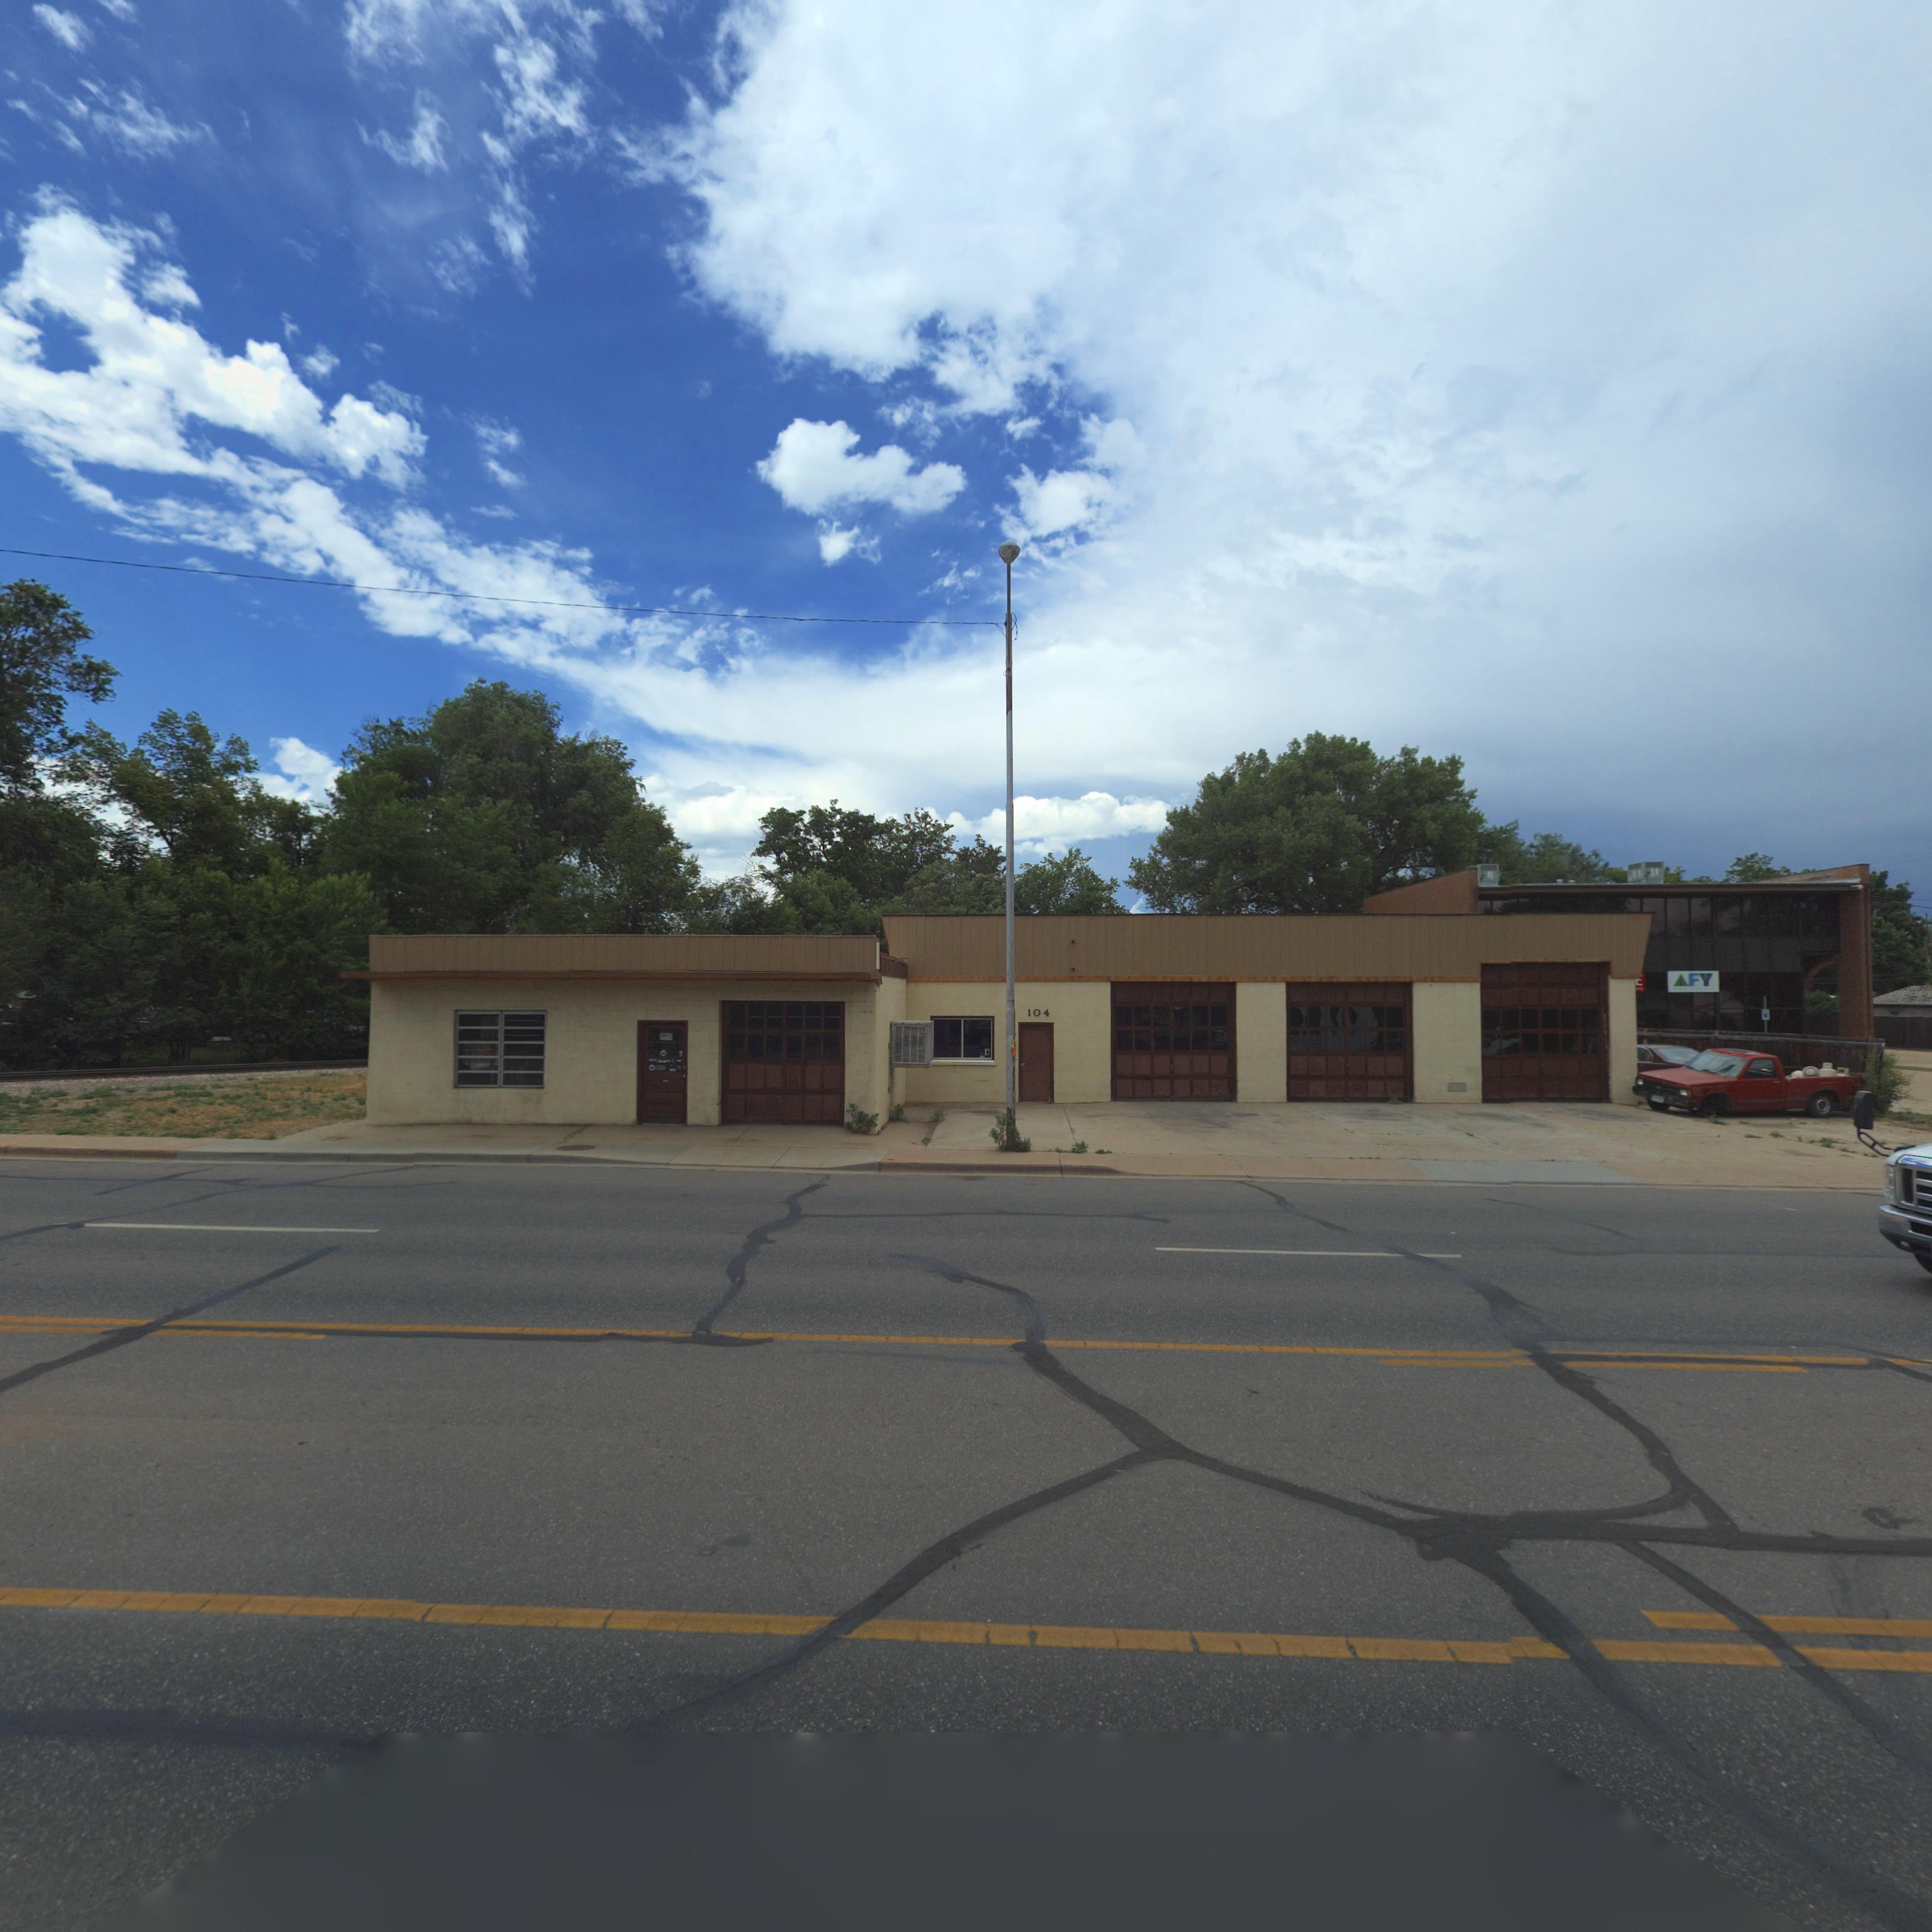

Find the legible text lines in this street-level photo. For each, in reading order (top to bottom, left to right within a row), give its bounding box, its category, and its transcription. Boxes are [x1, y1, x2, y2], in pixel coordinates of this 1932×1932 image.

[1673, 973, 1713, 986] BusinessName: AFY
[1027, 1008, 1050, 1016] StreetNumber: 104